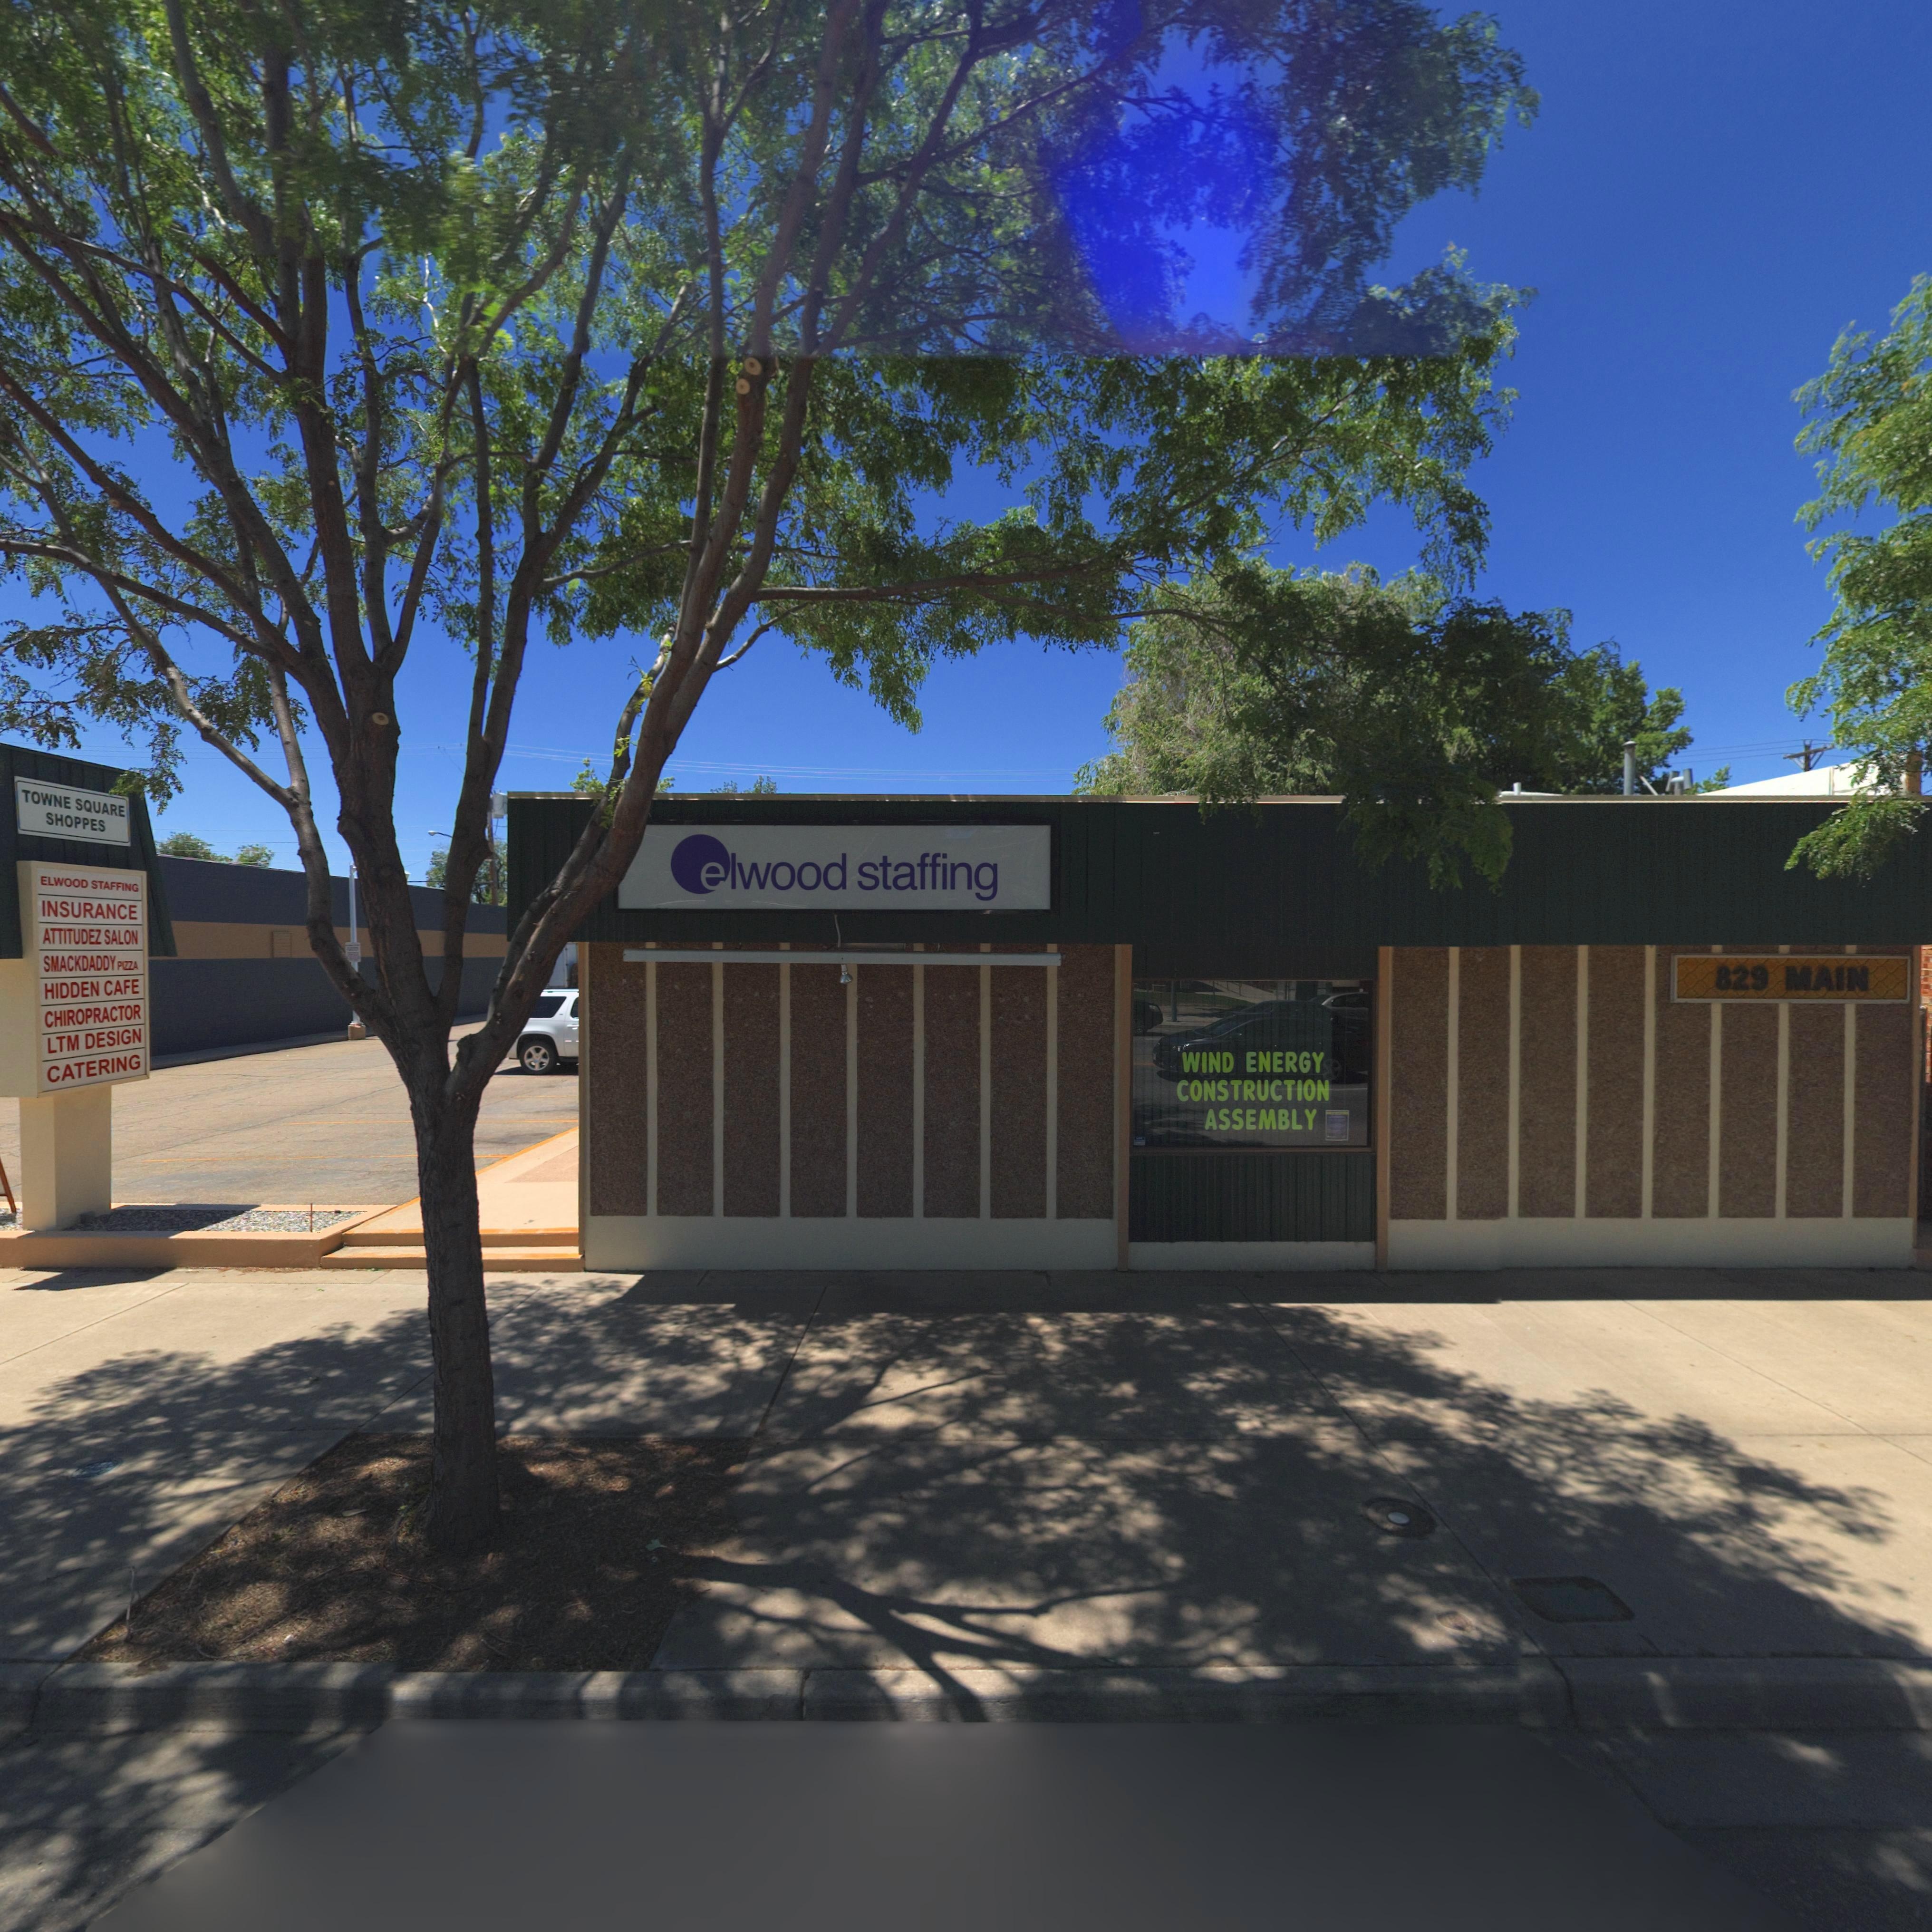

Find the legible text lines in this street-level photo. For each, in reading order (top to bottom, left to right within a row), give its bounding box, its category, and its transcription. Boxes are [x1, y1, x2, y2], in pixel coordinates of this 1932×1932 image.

[41, 876, 138, 892] BusinessName: ELWOOD STAFFING
[699, 851, 998, 902] BusinessName: elwood staffing
[42, 927, 138, 945] BusinessName: ATTITUDEZ SALON
[43, 955, 139, 972] BusinessName: SMACKDADDY PIZZA
[44, 979, 139, 999] BusinessName: HIDDEN CAFE
[1714, 964, 1769, 992] StreetNumber: 829
[1784, 965, 1869, 992] StreetName: MAIN
[47, 1028, 142, 1054] BusinessName: LTM DESIGN